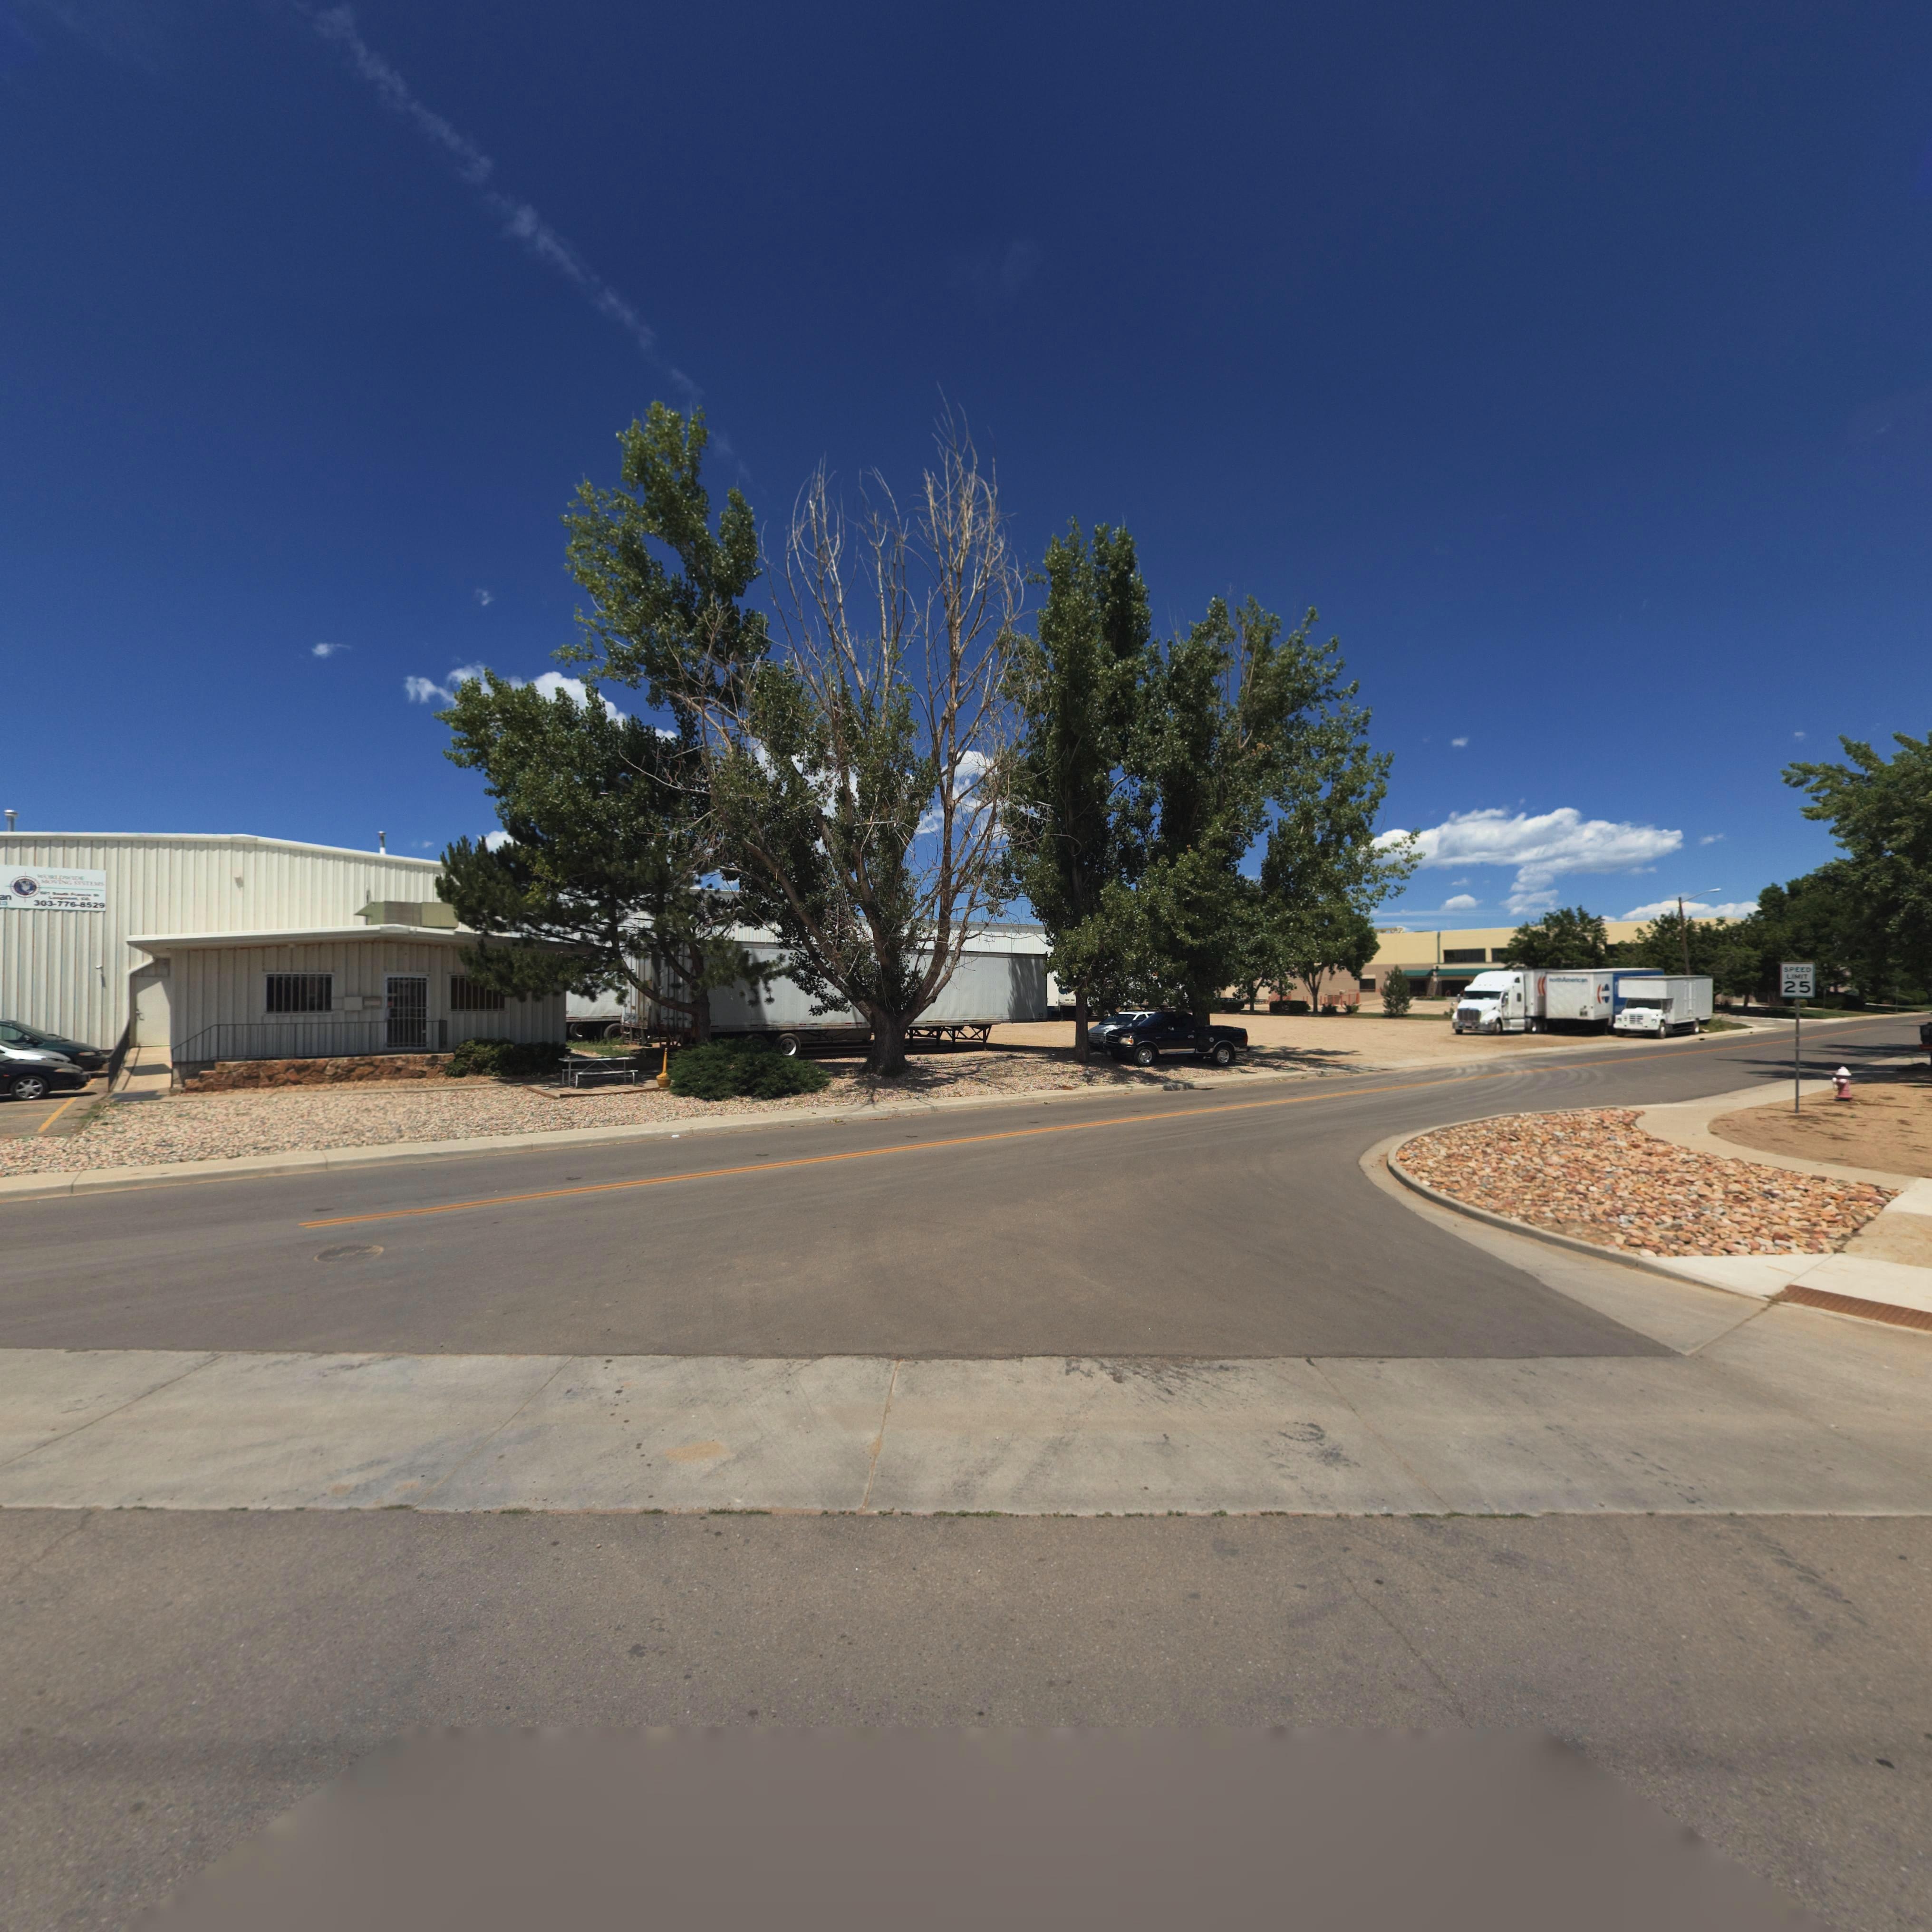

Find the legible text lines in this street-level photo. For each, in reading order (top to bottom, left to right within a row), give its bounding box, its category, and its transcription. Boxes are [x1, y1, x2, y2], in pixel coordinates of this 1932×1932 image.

[36, 873, 85, 881] BusinessName: WO*LD*IDE
[40, 879, 104, 886] BusinessName: MO*ING S**TEMS